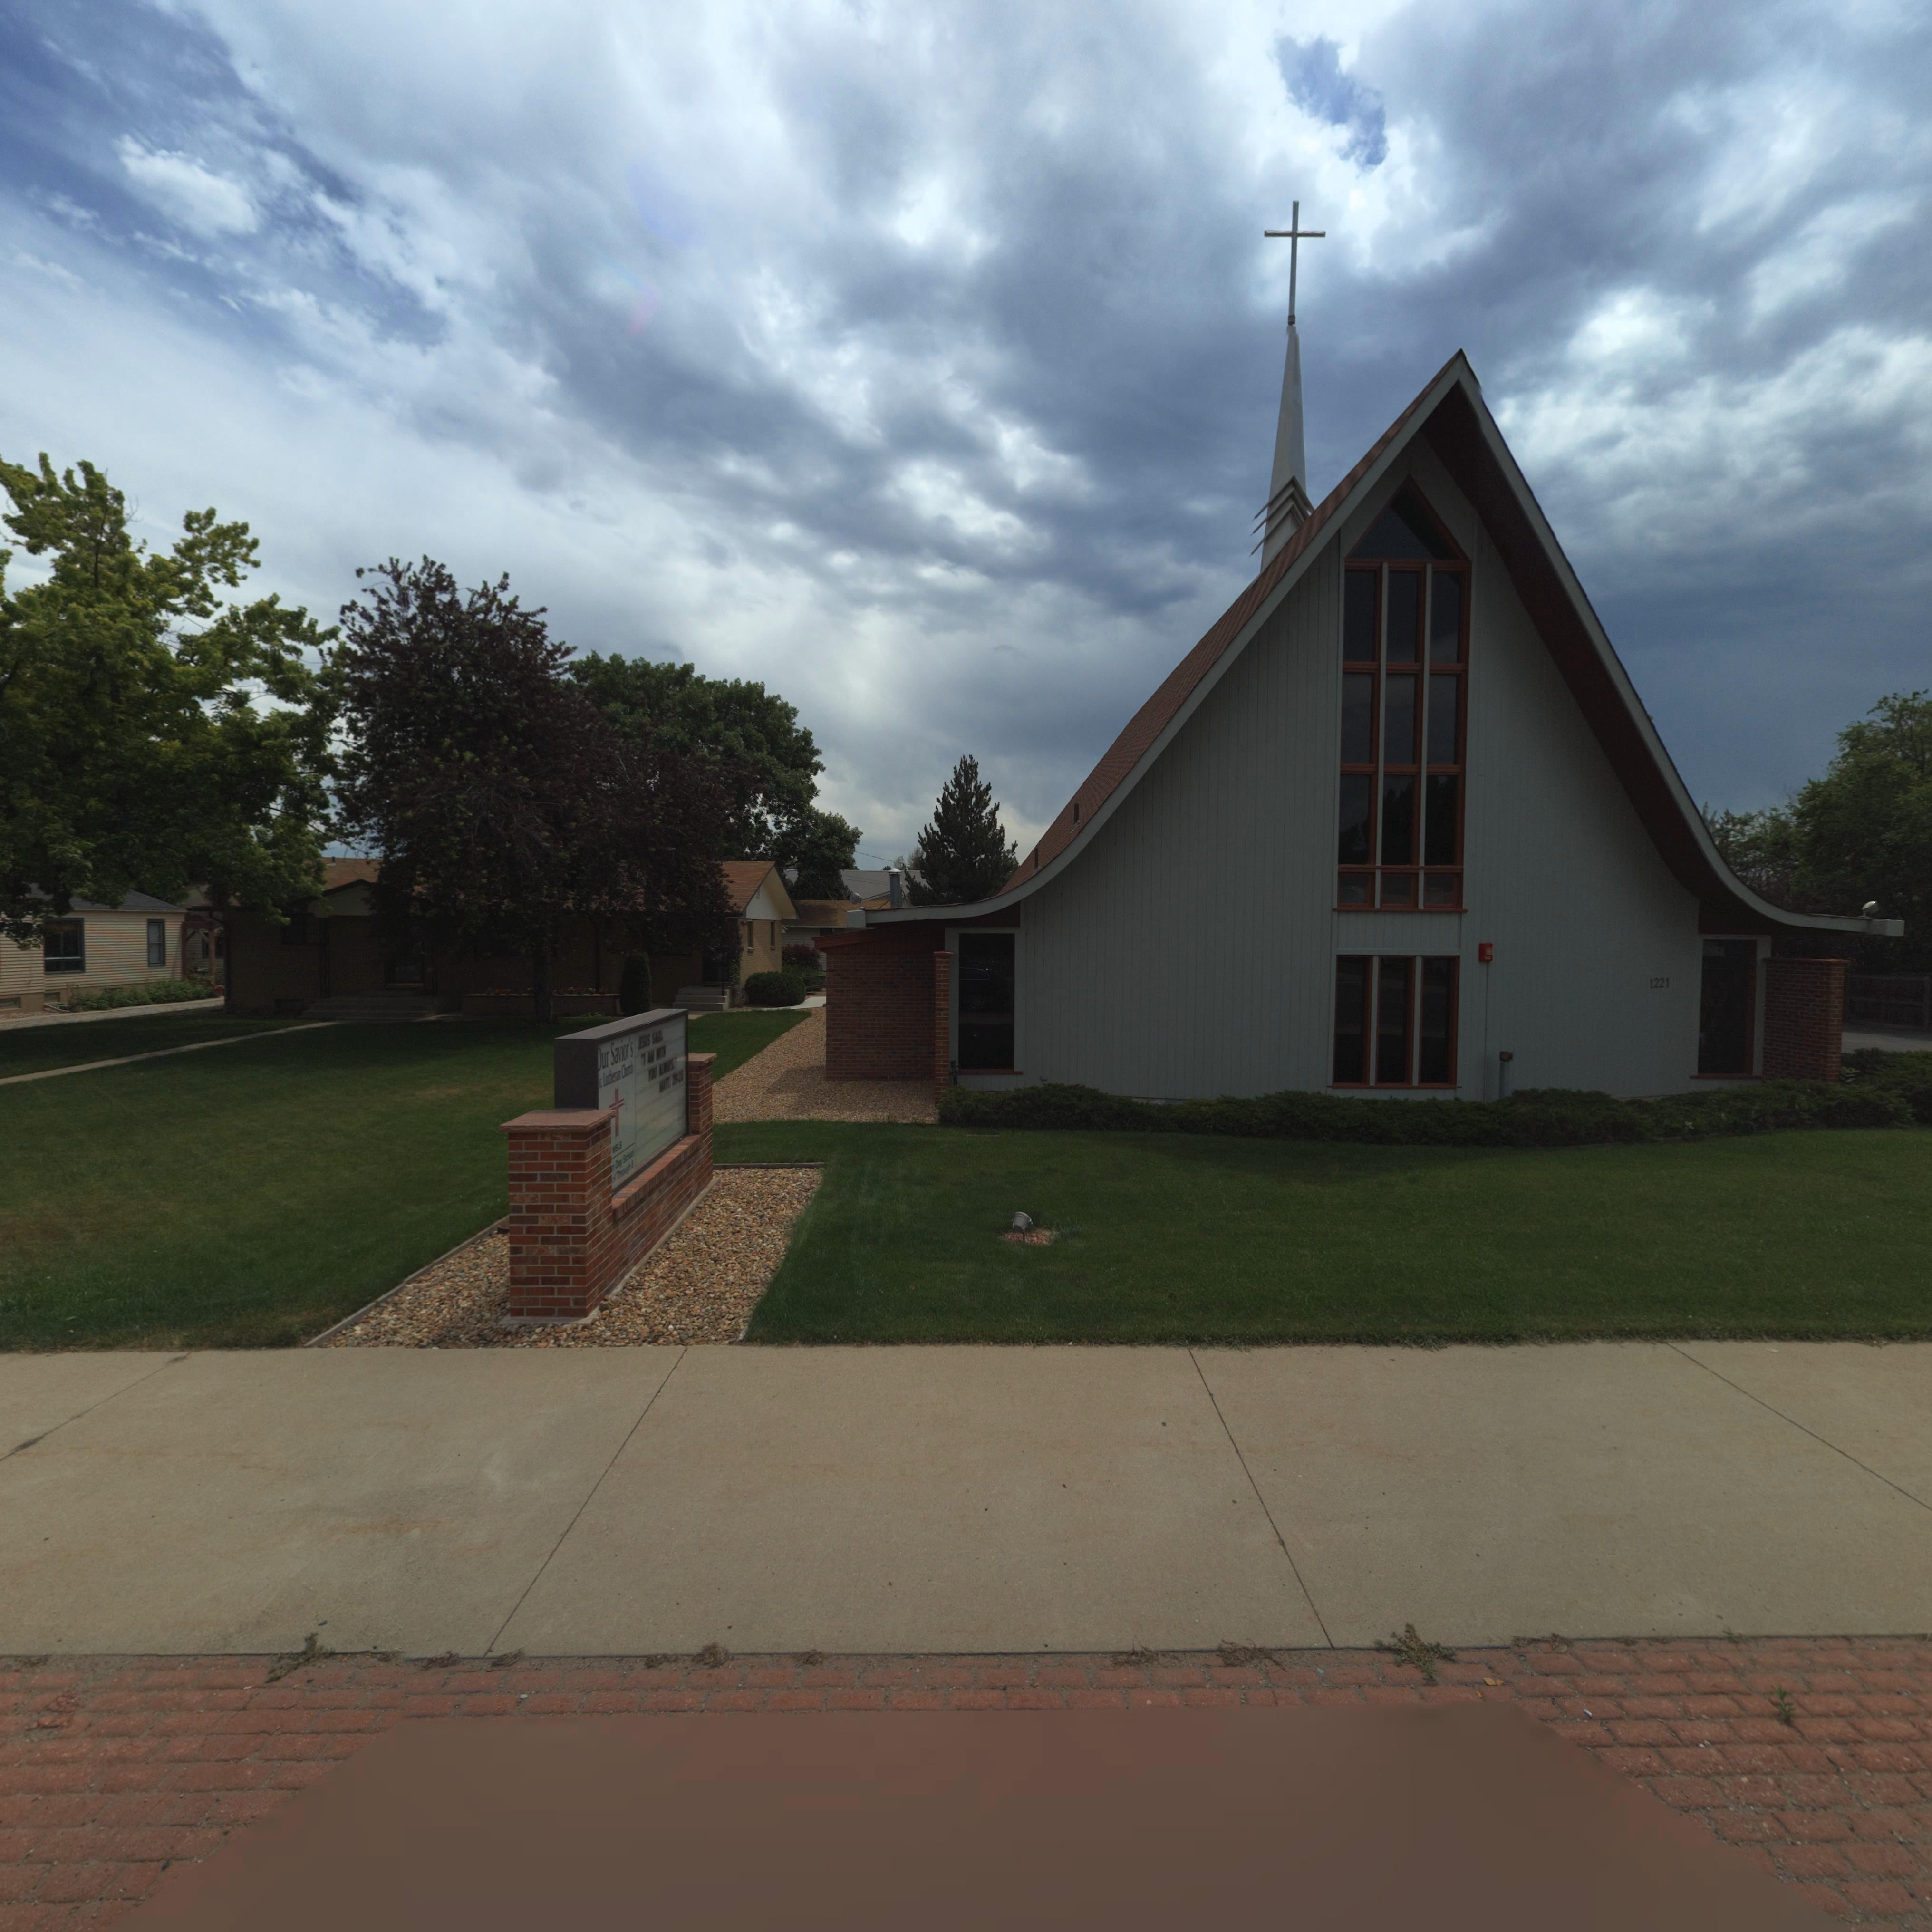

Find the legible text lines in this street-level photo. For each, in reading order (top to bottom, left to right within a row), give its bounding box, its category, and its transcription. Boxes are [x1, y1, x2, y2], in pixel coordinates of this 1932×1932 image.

[1650, 977, 1670, 989] StreetNumber: 1221
[597, 1036, 635, 1072] BusinessName: Our Savior's
[598, 1058, 634, 1090] BusinessName: ** Lutheran Church